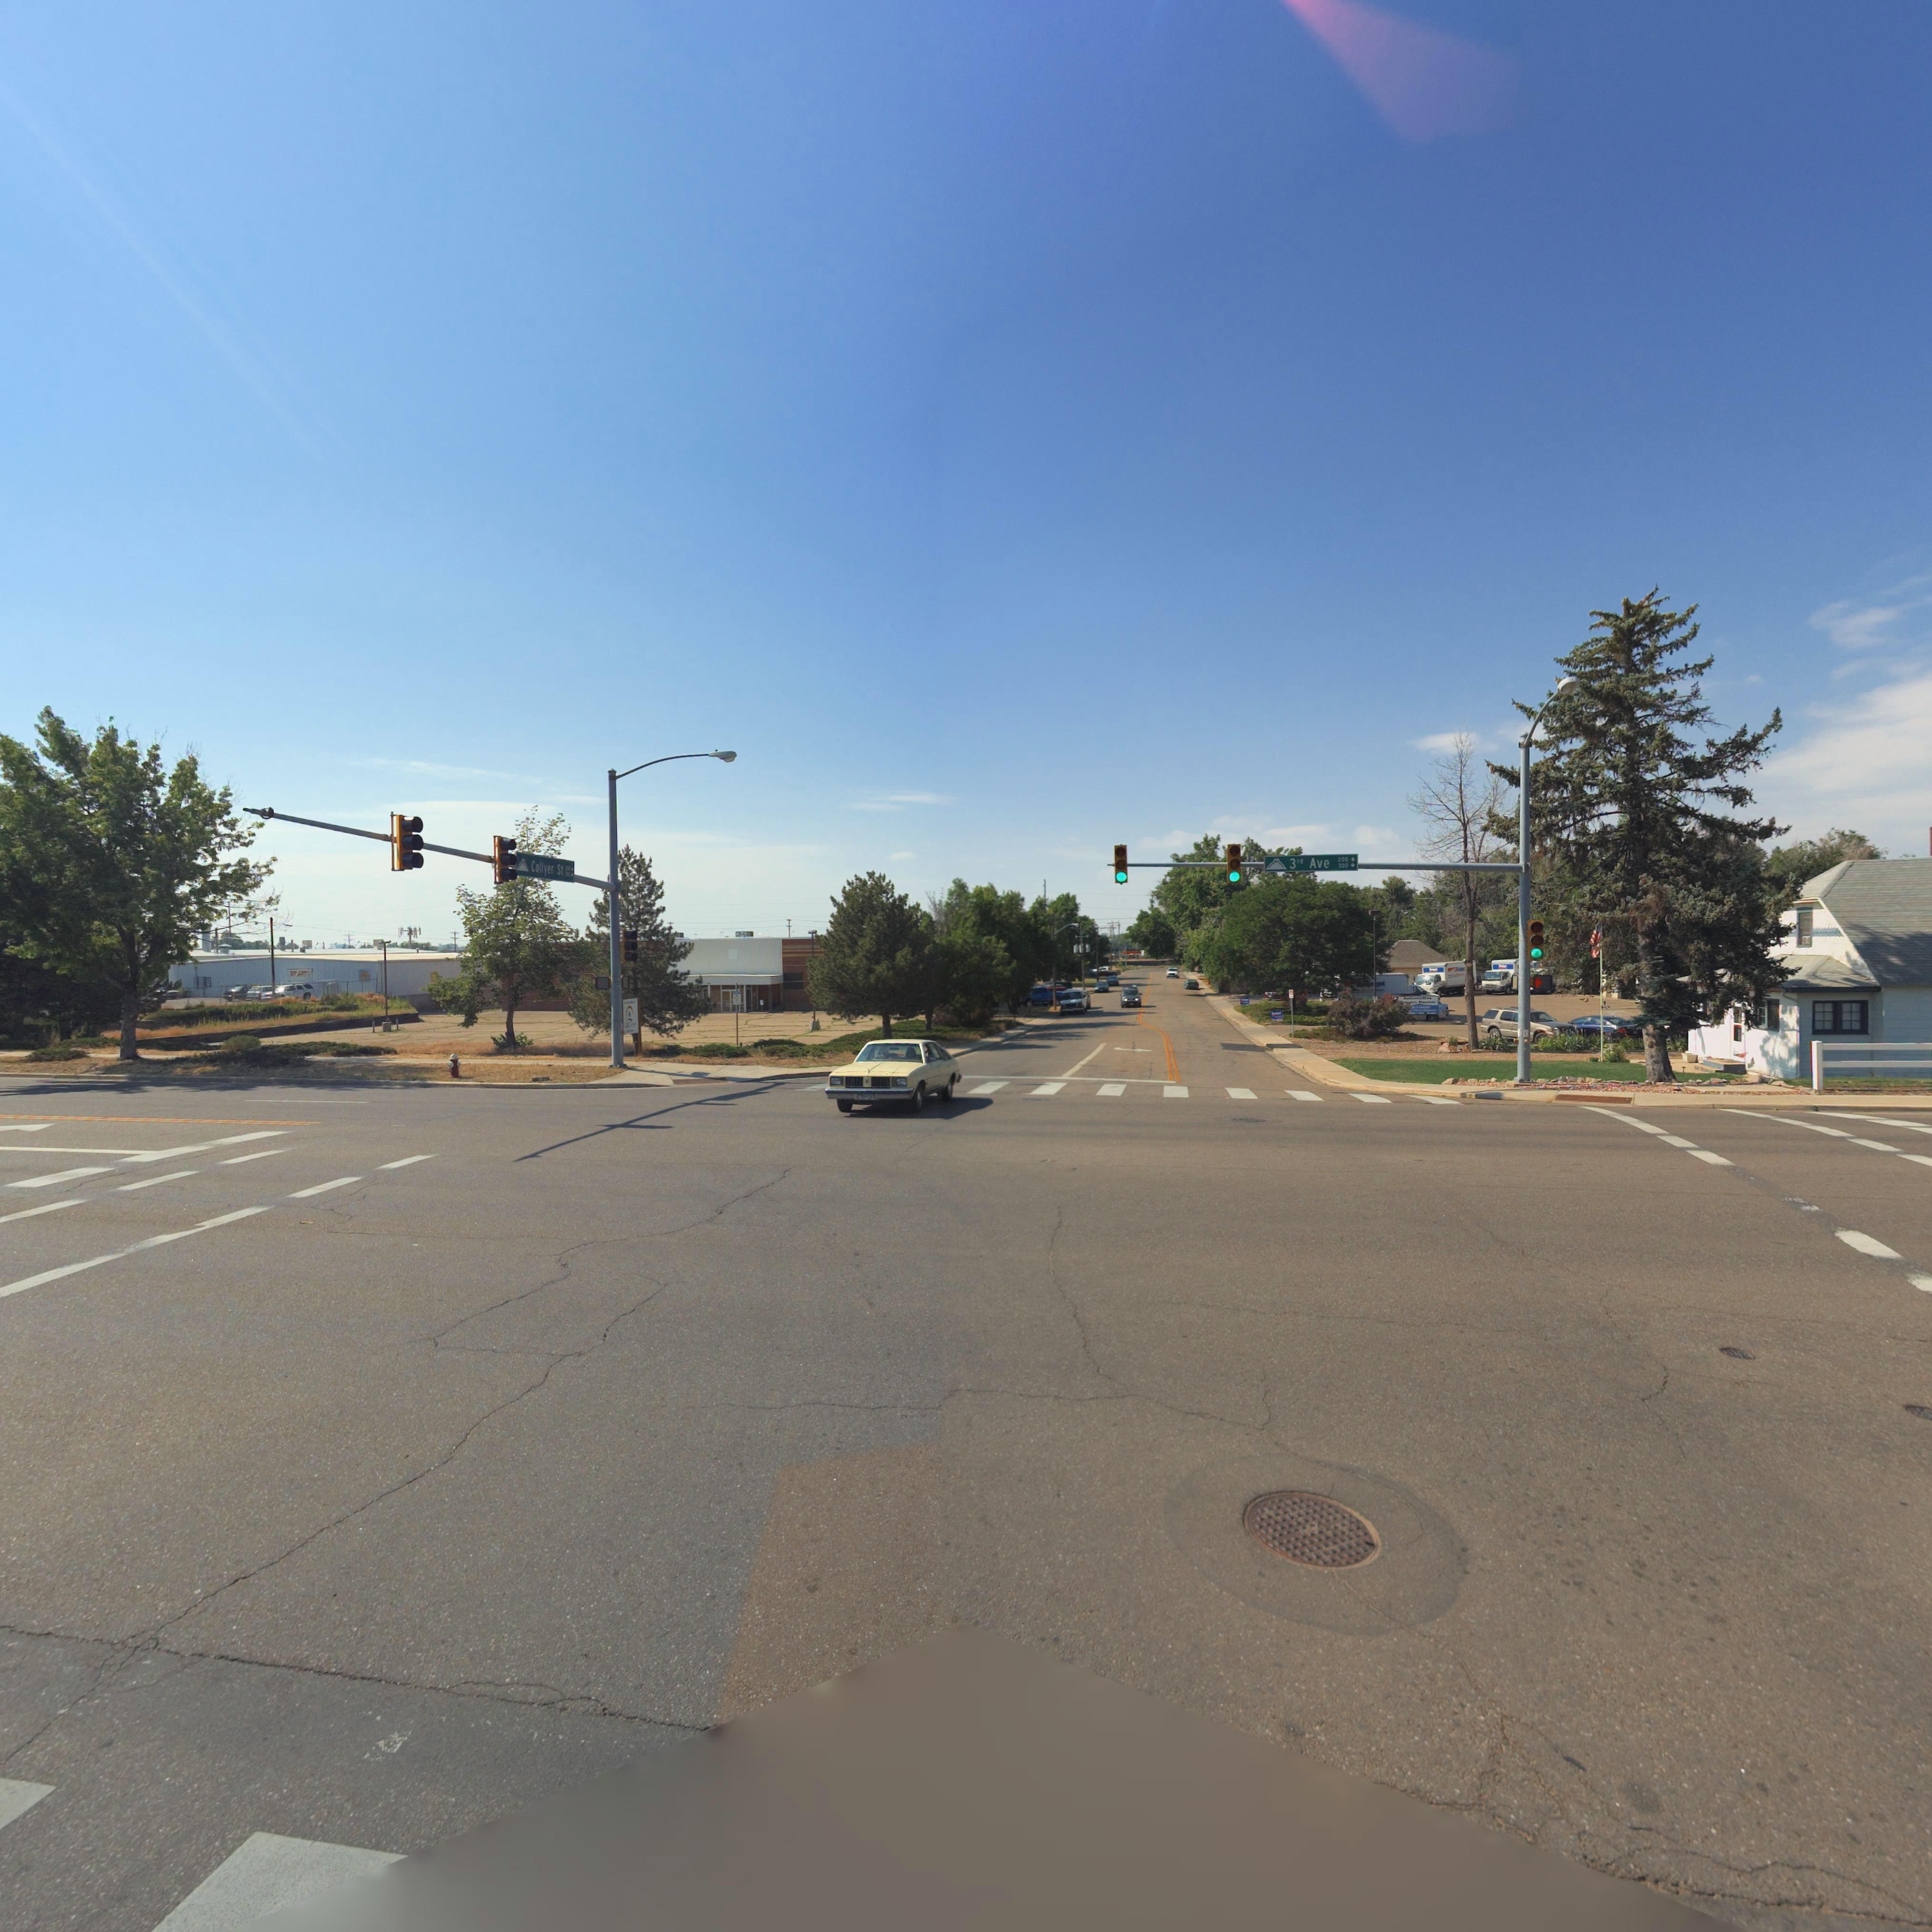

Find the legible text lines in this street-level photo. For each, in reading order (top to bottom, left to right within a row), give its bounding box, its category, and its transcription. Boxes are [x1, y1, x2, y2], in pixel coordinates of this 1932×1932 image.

[1338, 856, 1348, 862] StreetNumberRange: 200
[530, 860, 564, 877] StreetName: Collyer St
[565, 865, 571, 871] StreetNumberRange: 2**
[1289, 857, 1330, 869] StreetName: 3rd Ave
[1338, 862, 1355, 868] StreetNumberRange: 300->
[564, 871, 571, 877] StreetNumberRange: 3**